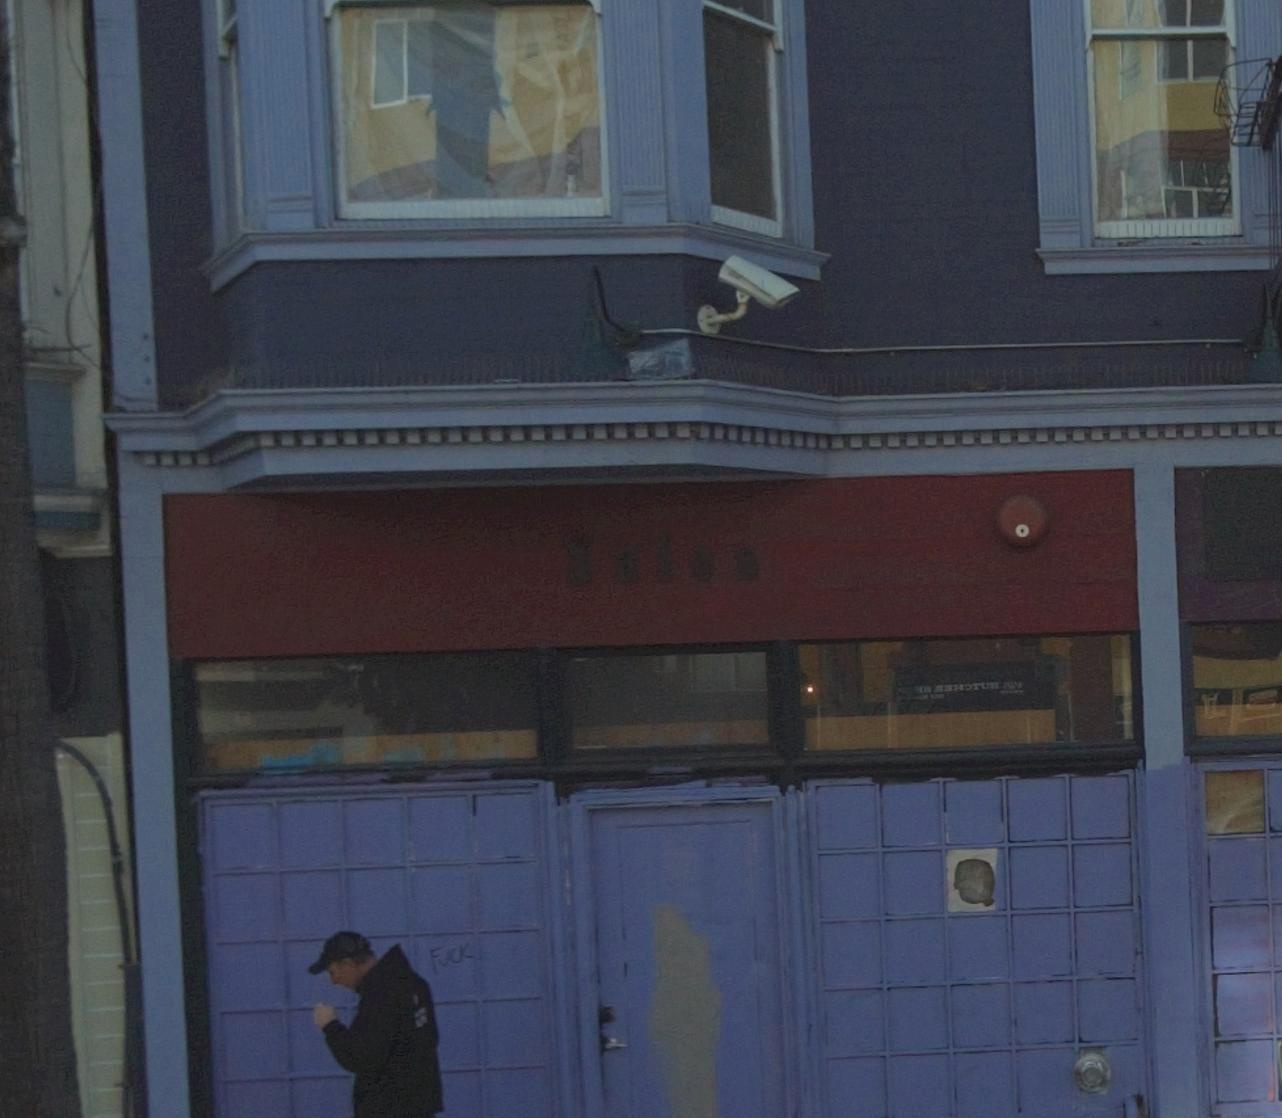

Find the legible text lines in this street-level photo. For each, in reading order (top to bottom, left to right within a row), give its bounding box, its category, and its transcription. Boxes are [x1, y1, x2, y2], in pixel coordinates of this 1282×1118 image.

[559, 524, 768, 594] BusinessName: Salo*
[422, 934, 483, 981] None: FUCK